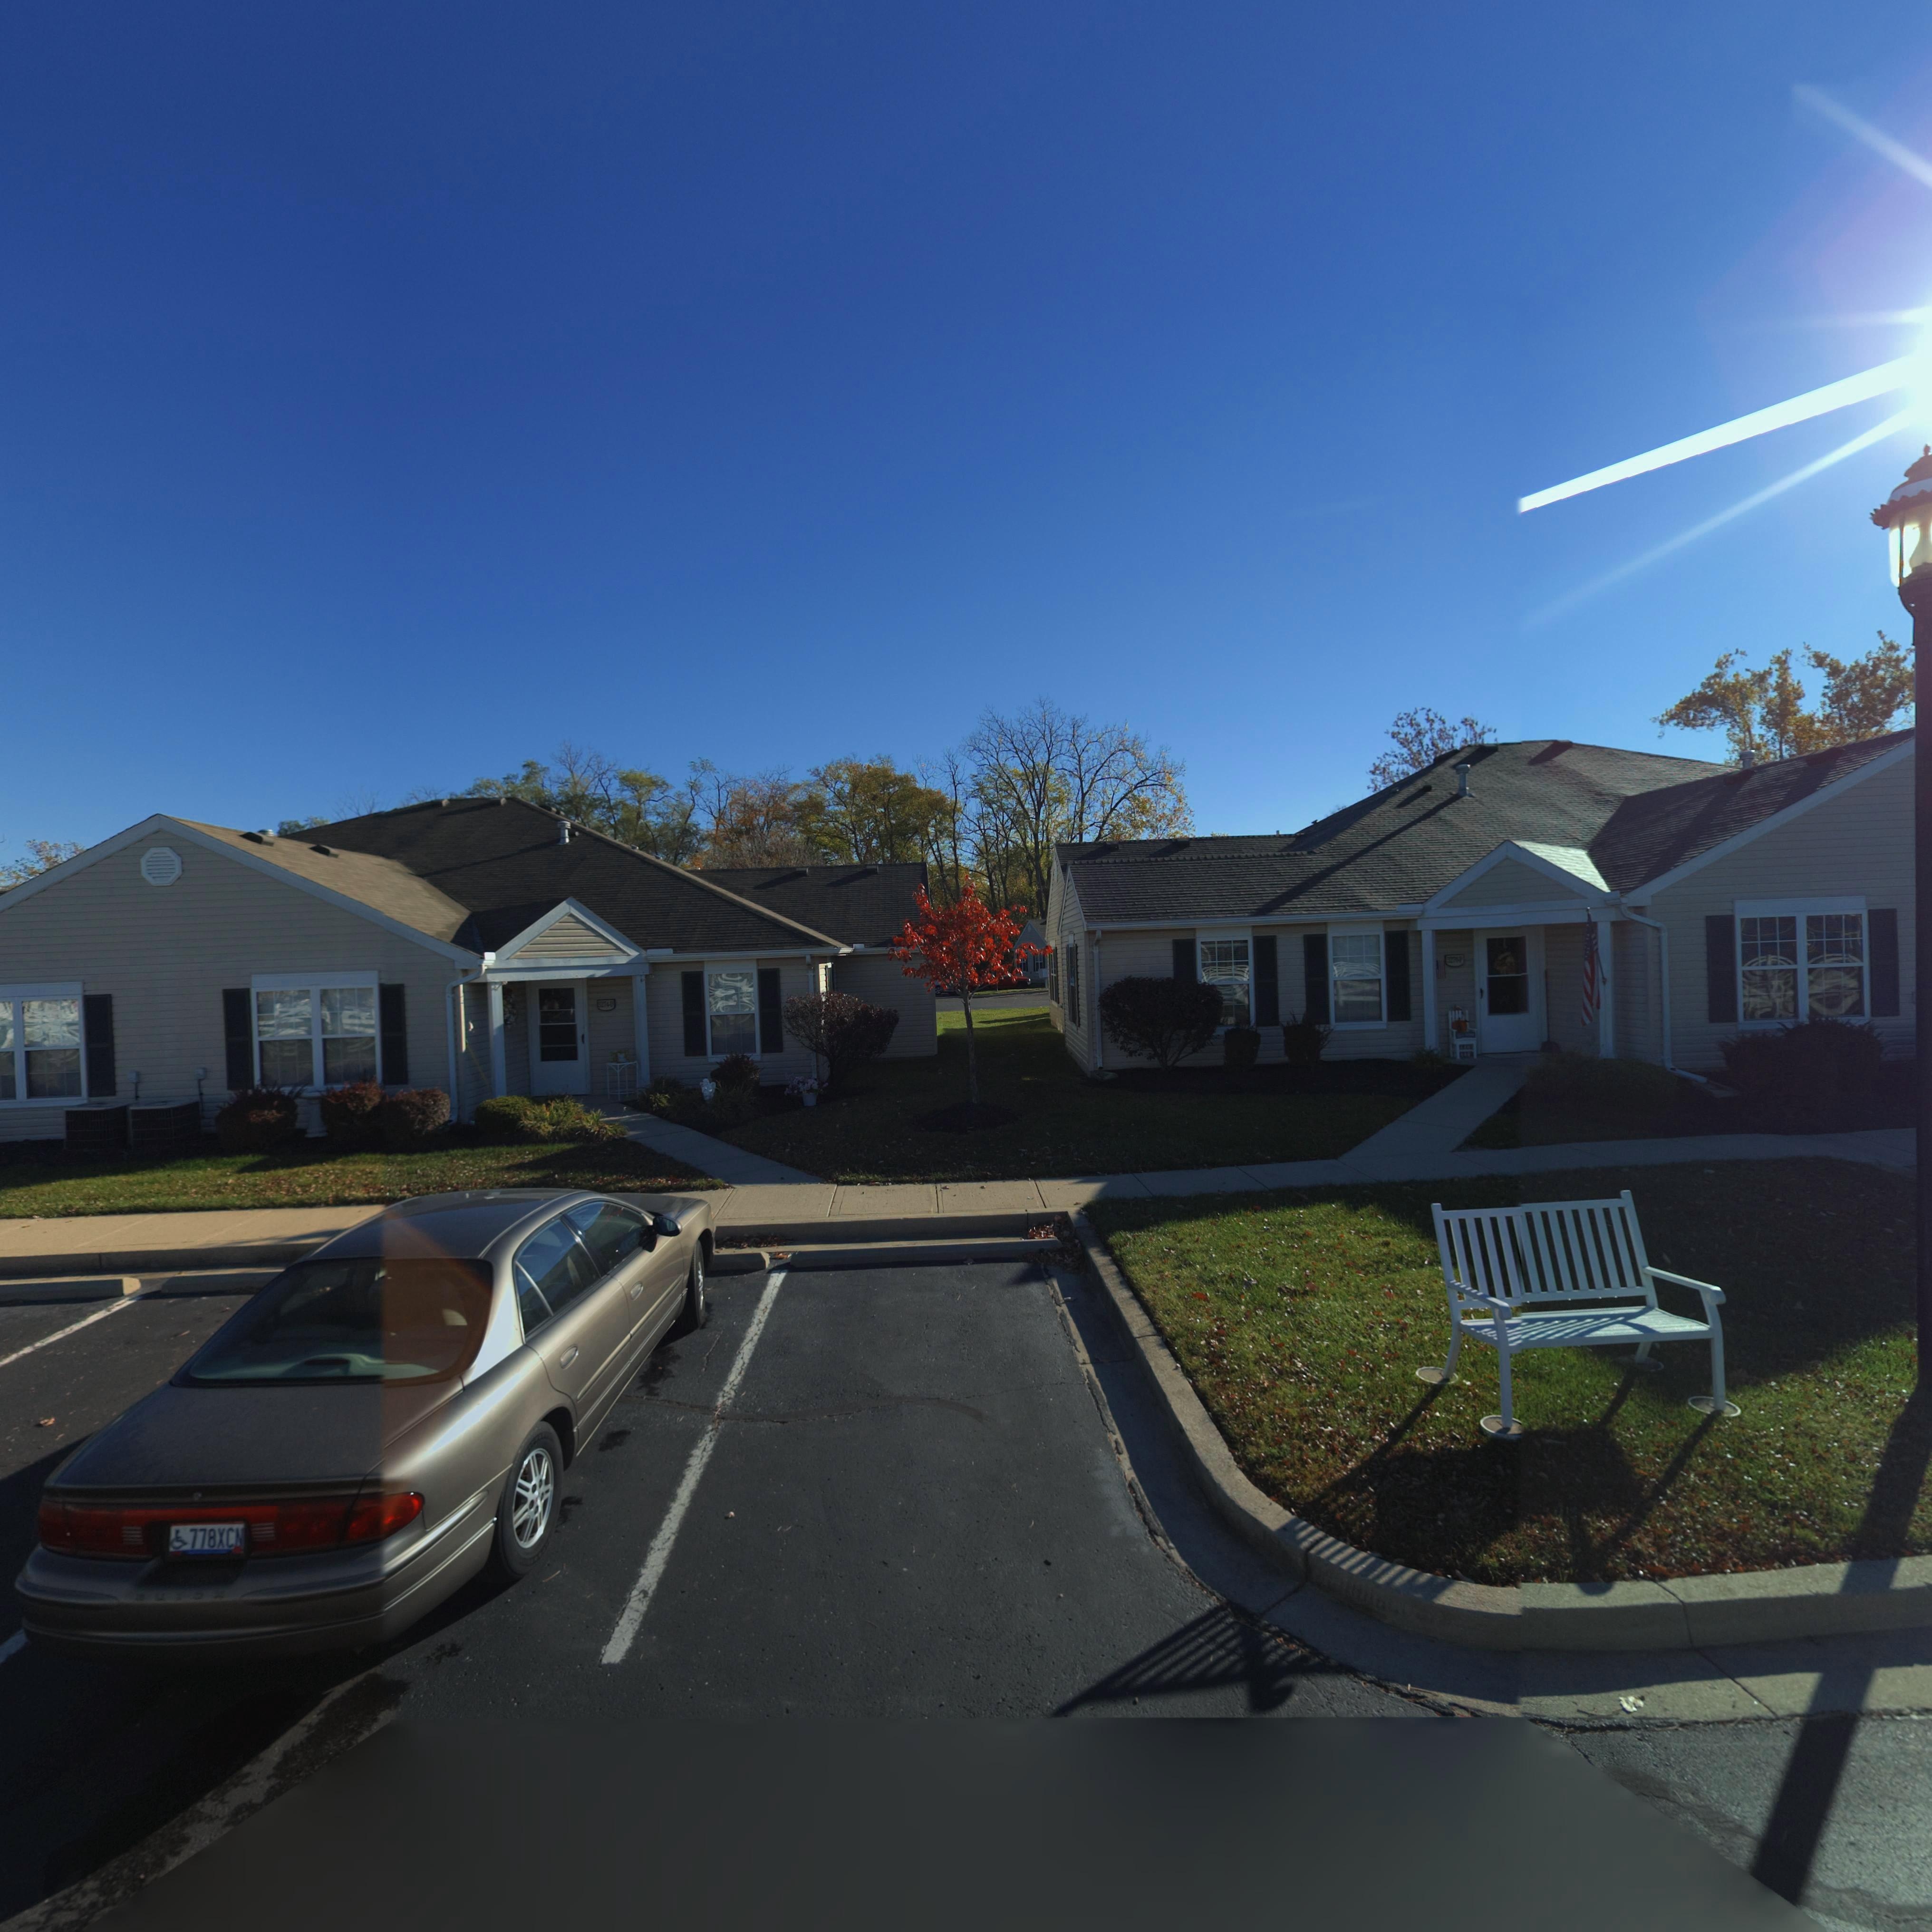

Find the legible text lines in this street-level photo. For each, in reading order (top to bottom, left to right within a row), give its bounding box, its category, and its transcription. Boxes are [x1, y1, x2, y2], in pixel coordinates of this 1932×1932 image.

[1446, 956, 1463, 963] StreetNumber: 5276-F
[597, 1000, 614, 1007] StreetNumber: 5274-D